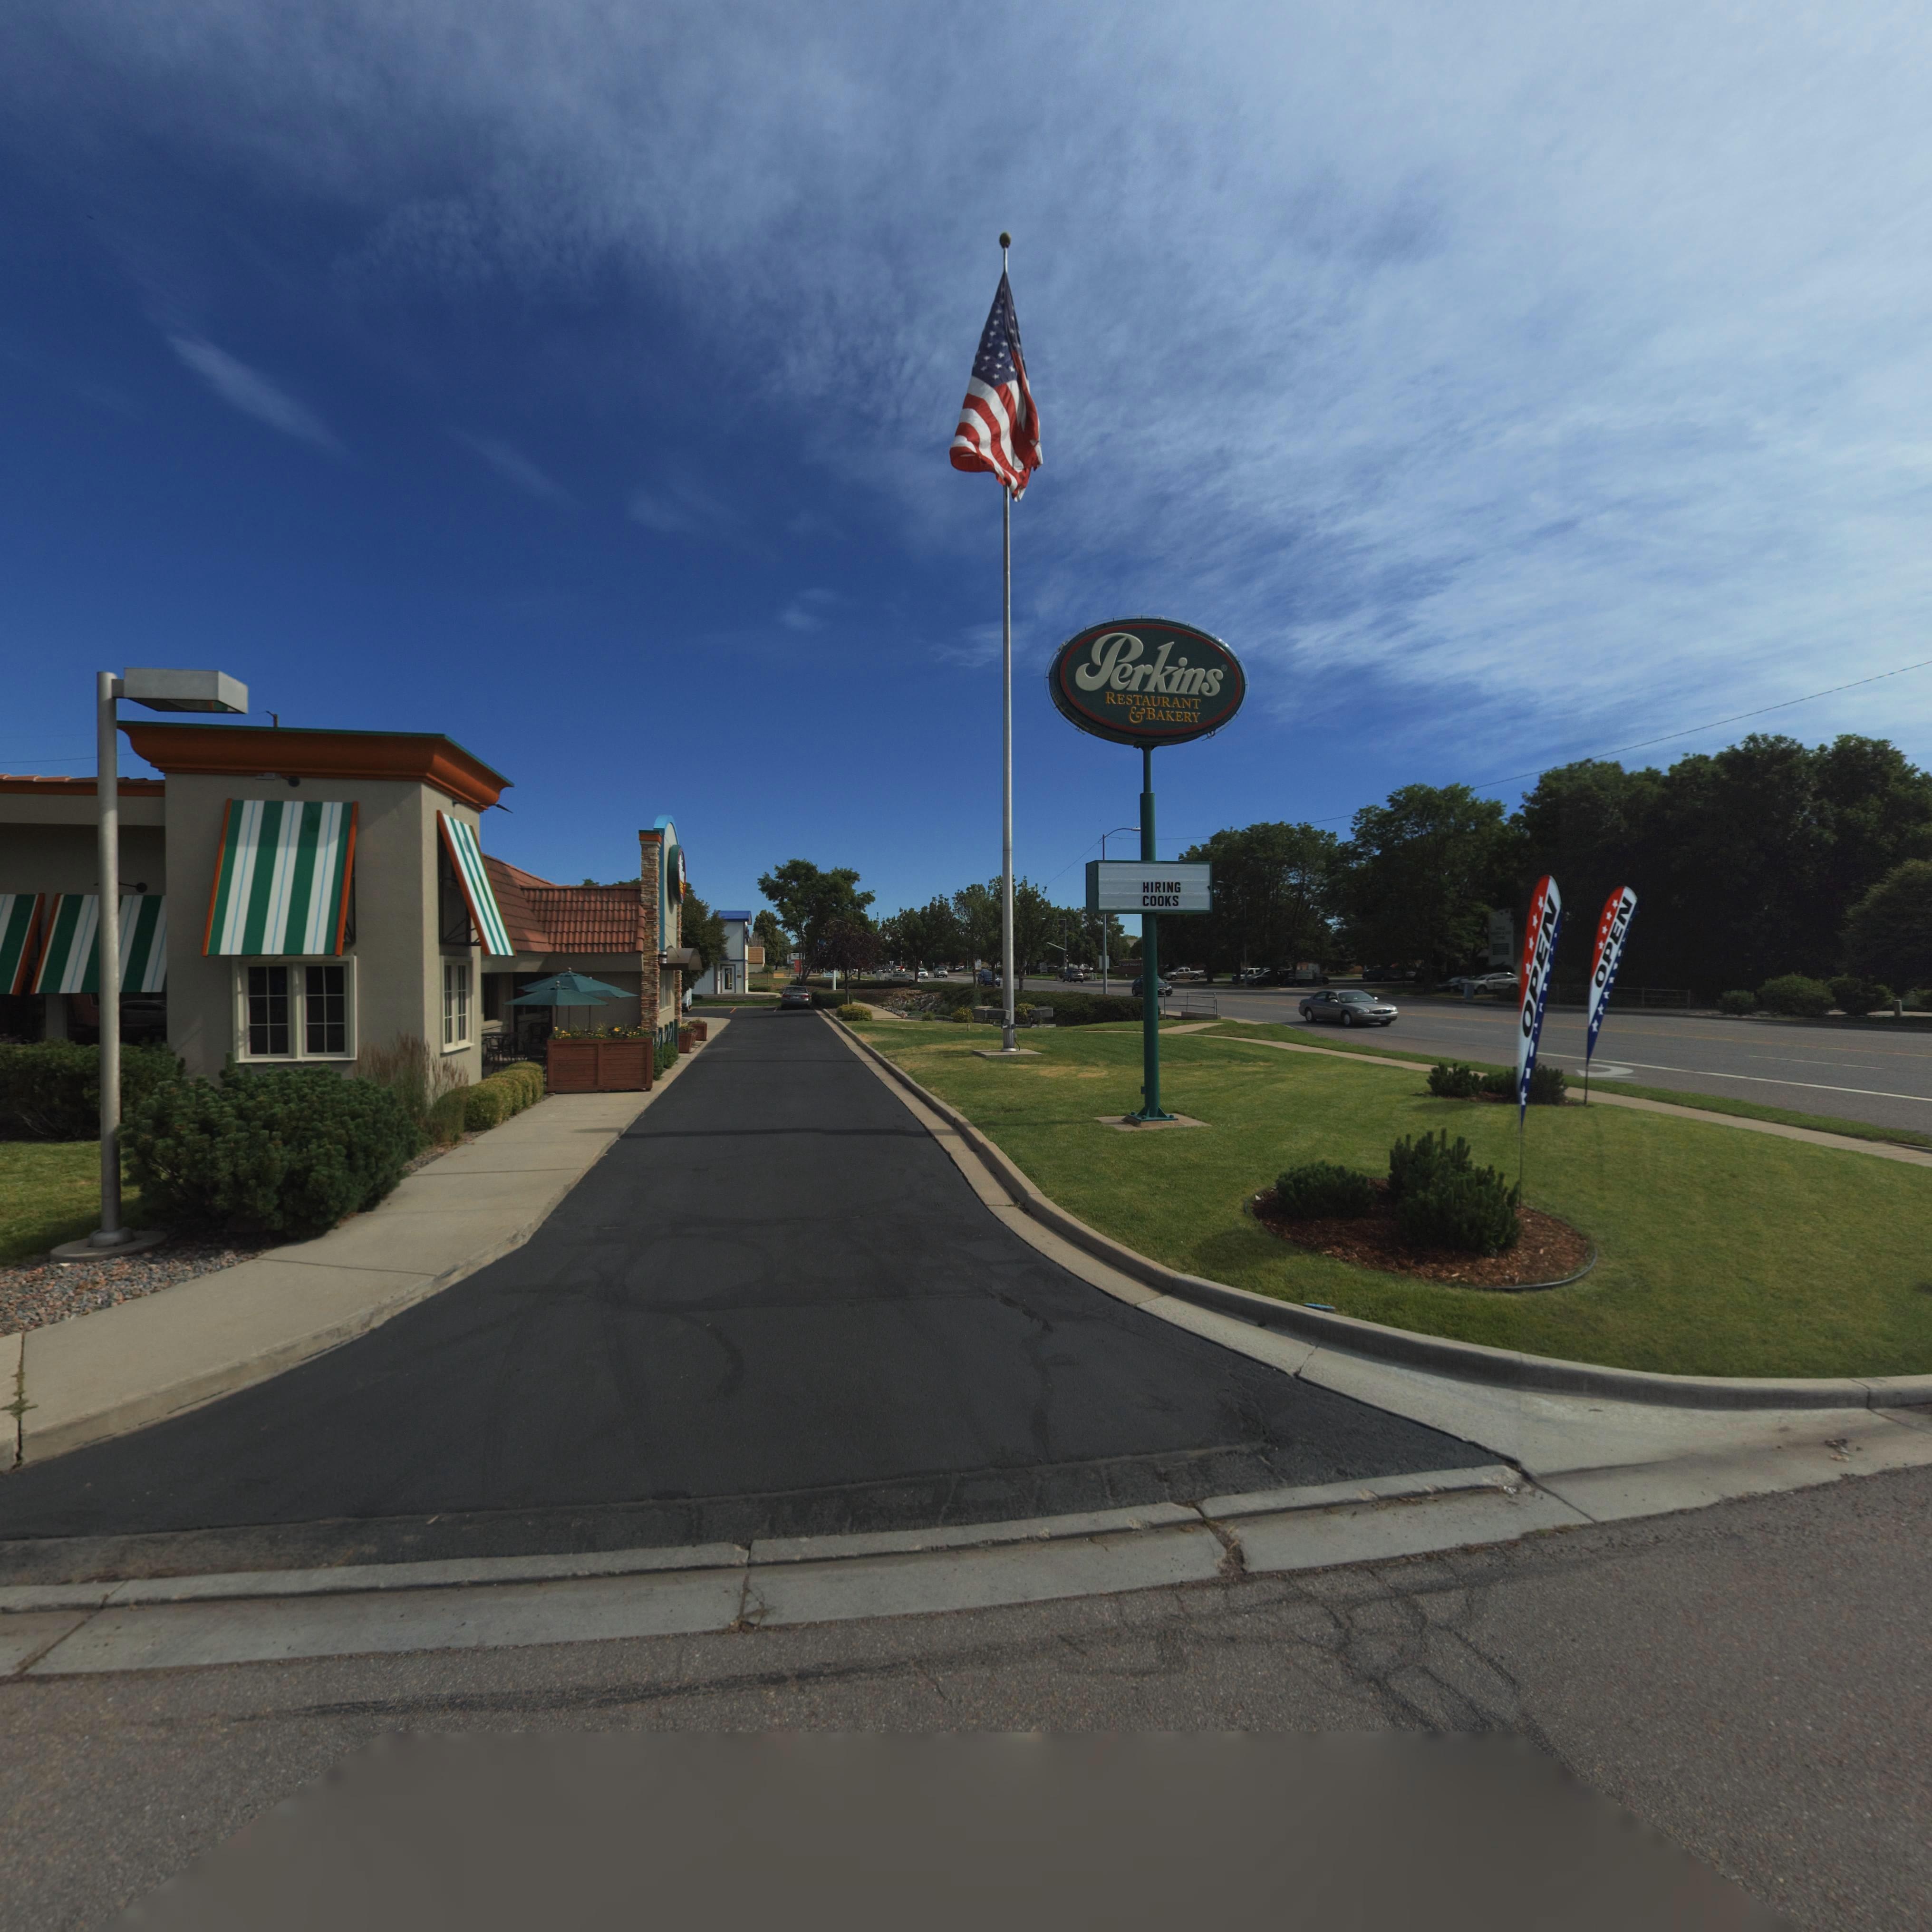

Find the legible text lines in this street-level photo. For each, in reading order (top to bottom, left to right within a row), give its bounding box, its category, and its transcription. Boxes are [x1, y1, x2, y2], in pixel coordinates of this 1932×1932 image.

[1074, 632, 1224, 697] BusinessName: Perkins
[1104, 690, 1201, 709] BusinessName: RESTAURANT
[1128, 705, 1201, 724] BusinessName: & BAKERY